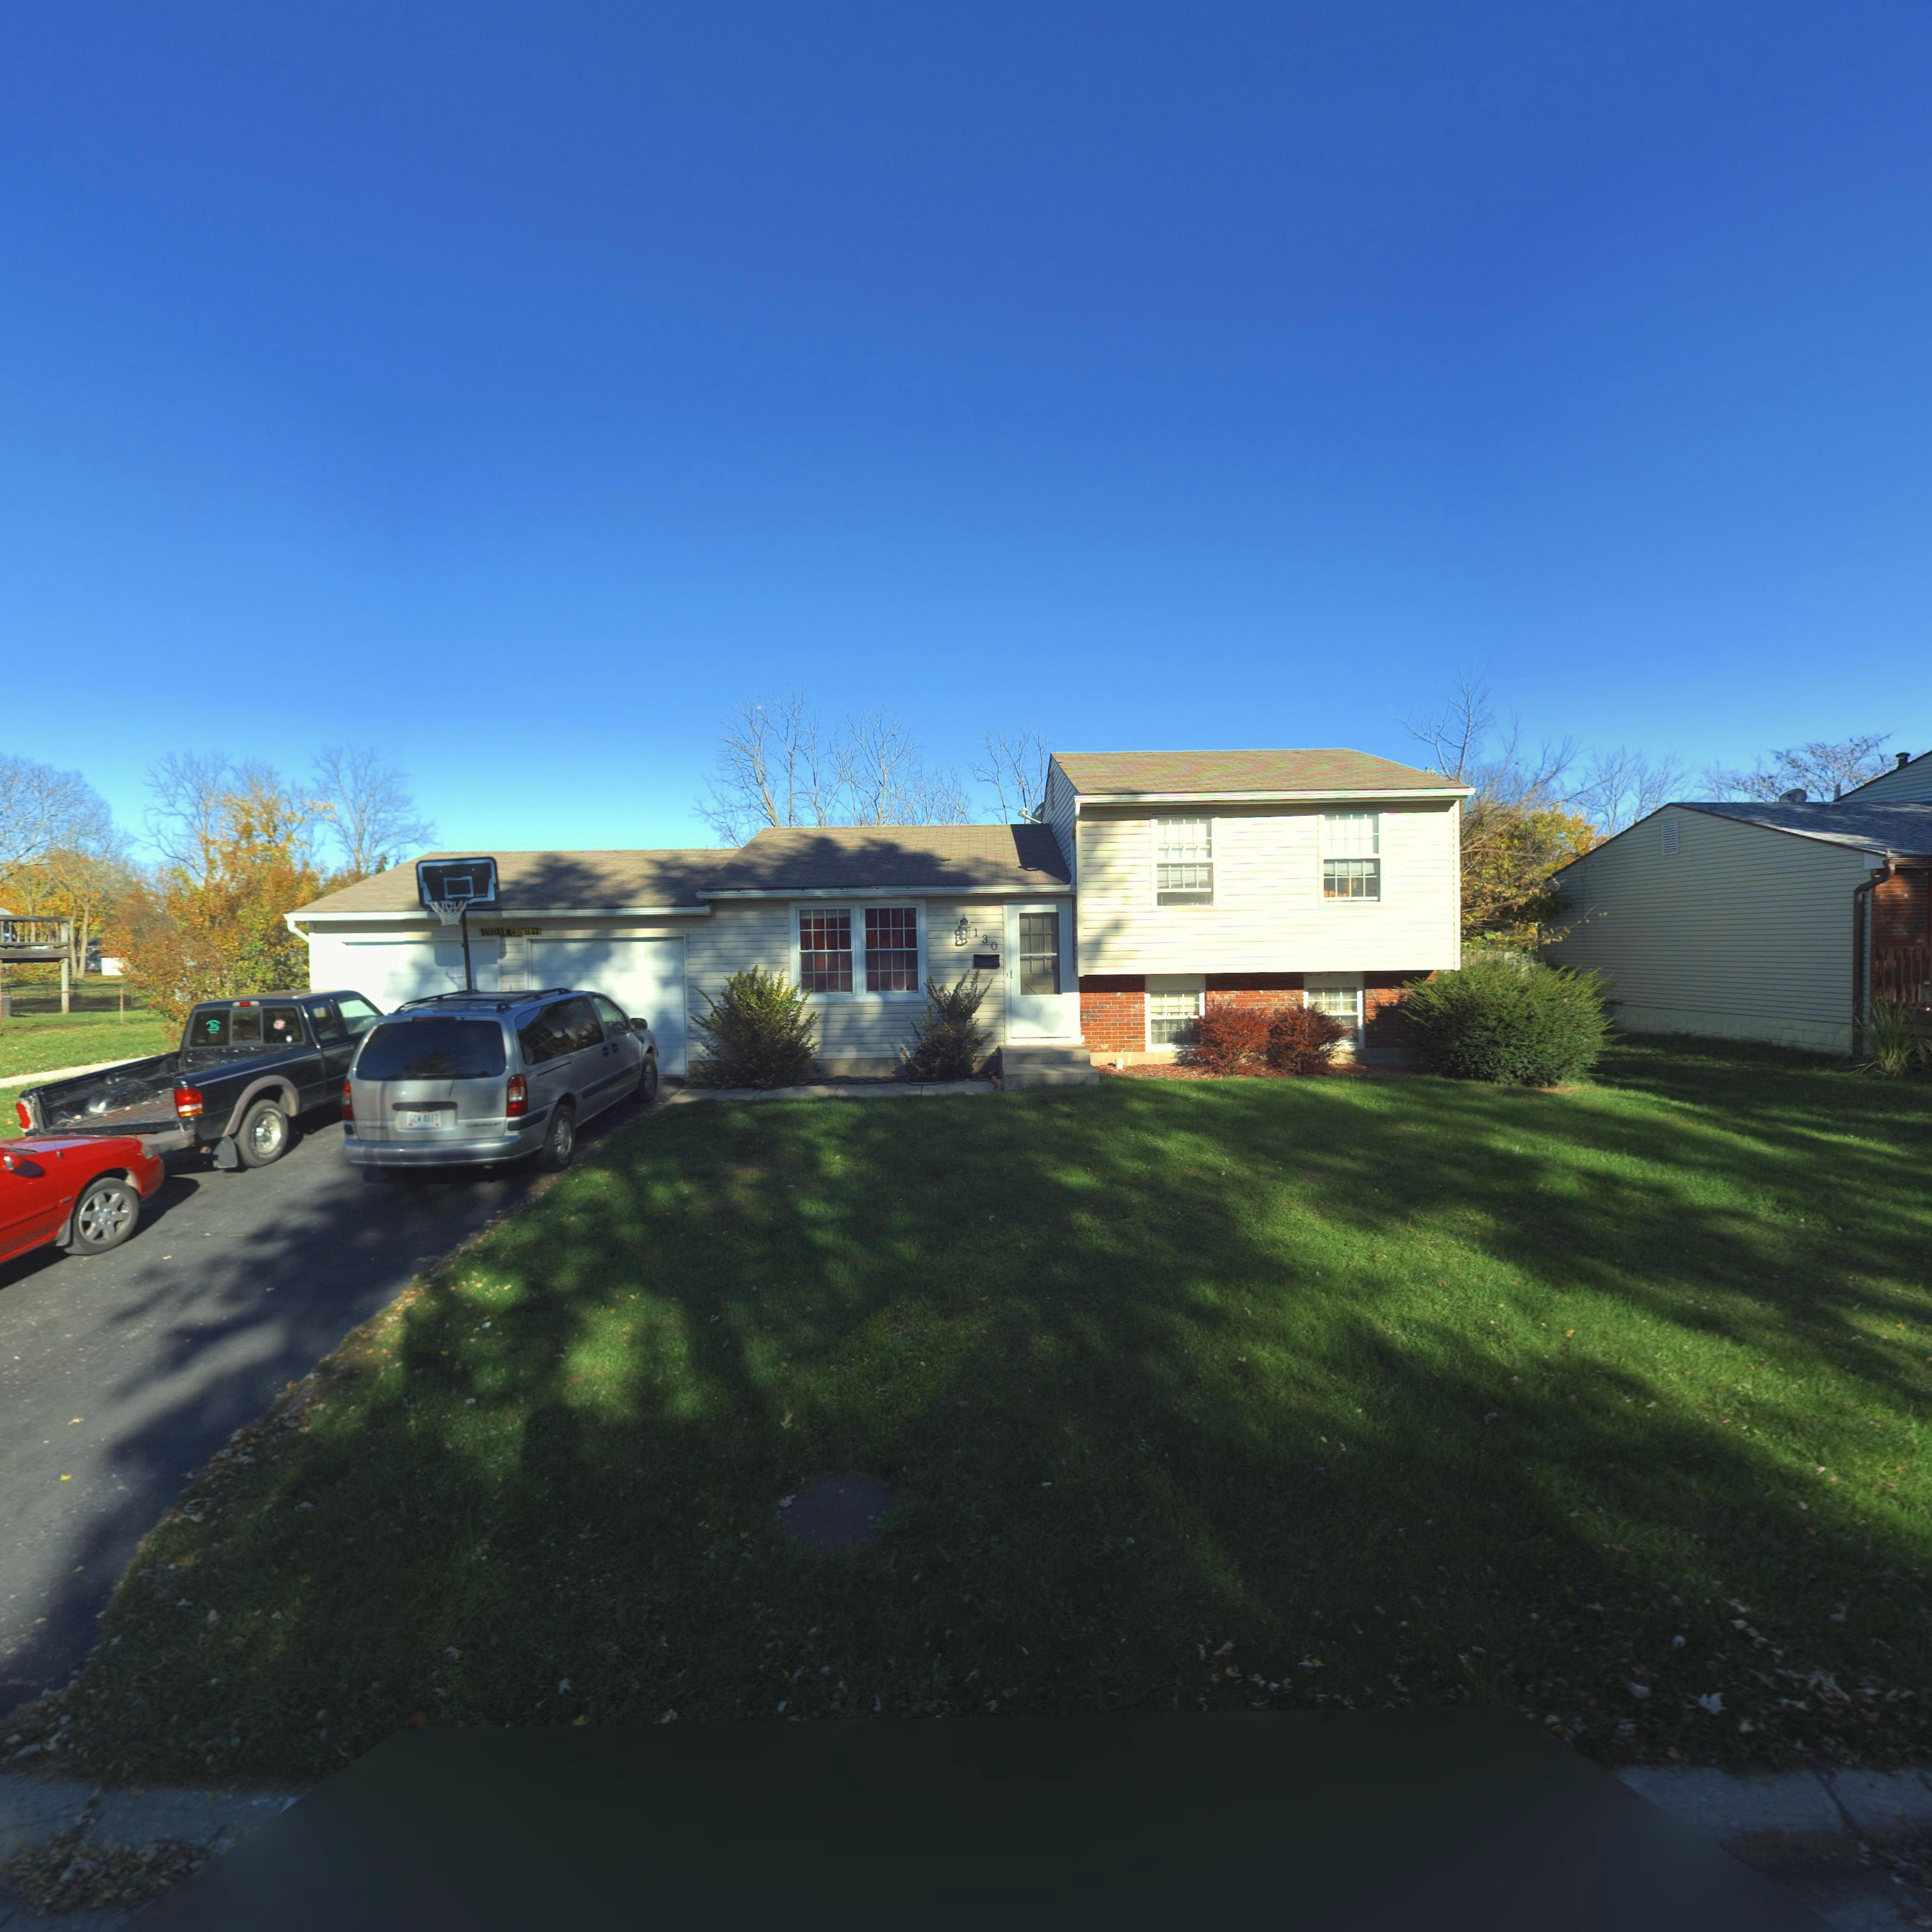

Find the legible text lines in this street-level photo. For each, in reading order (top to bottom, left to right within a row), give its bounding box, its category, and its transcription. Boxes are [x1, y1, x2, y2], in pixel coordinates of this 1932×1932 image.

[973, 927, 998, 952] StreetNumber: 130